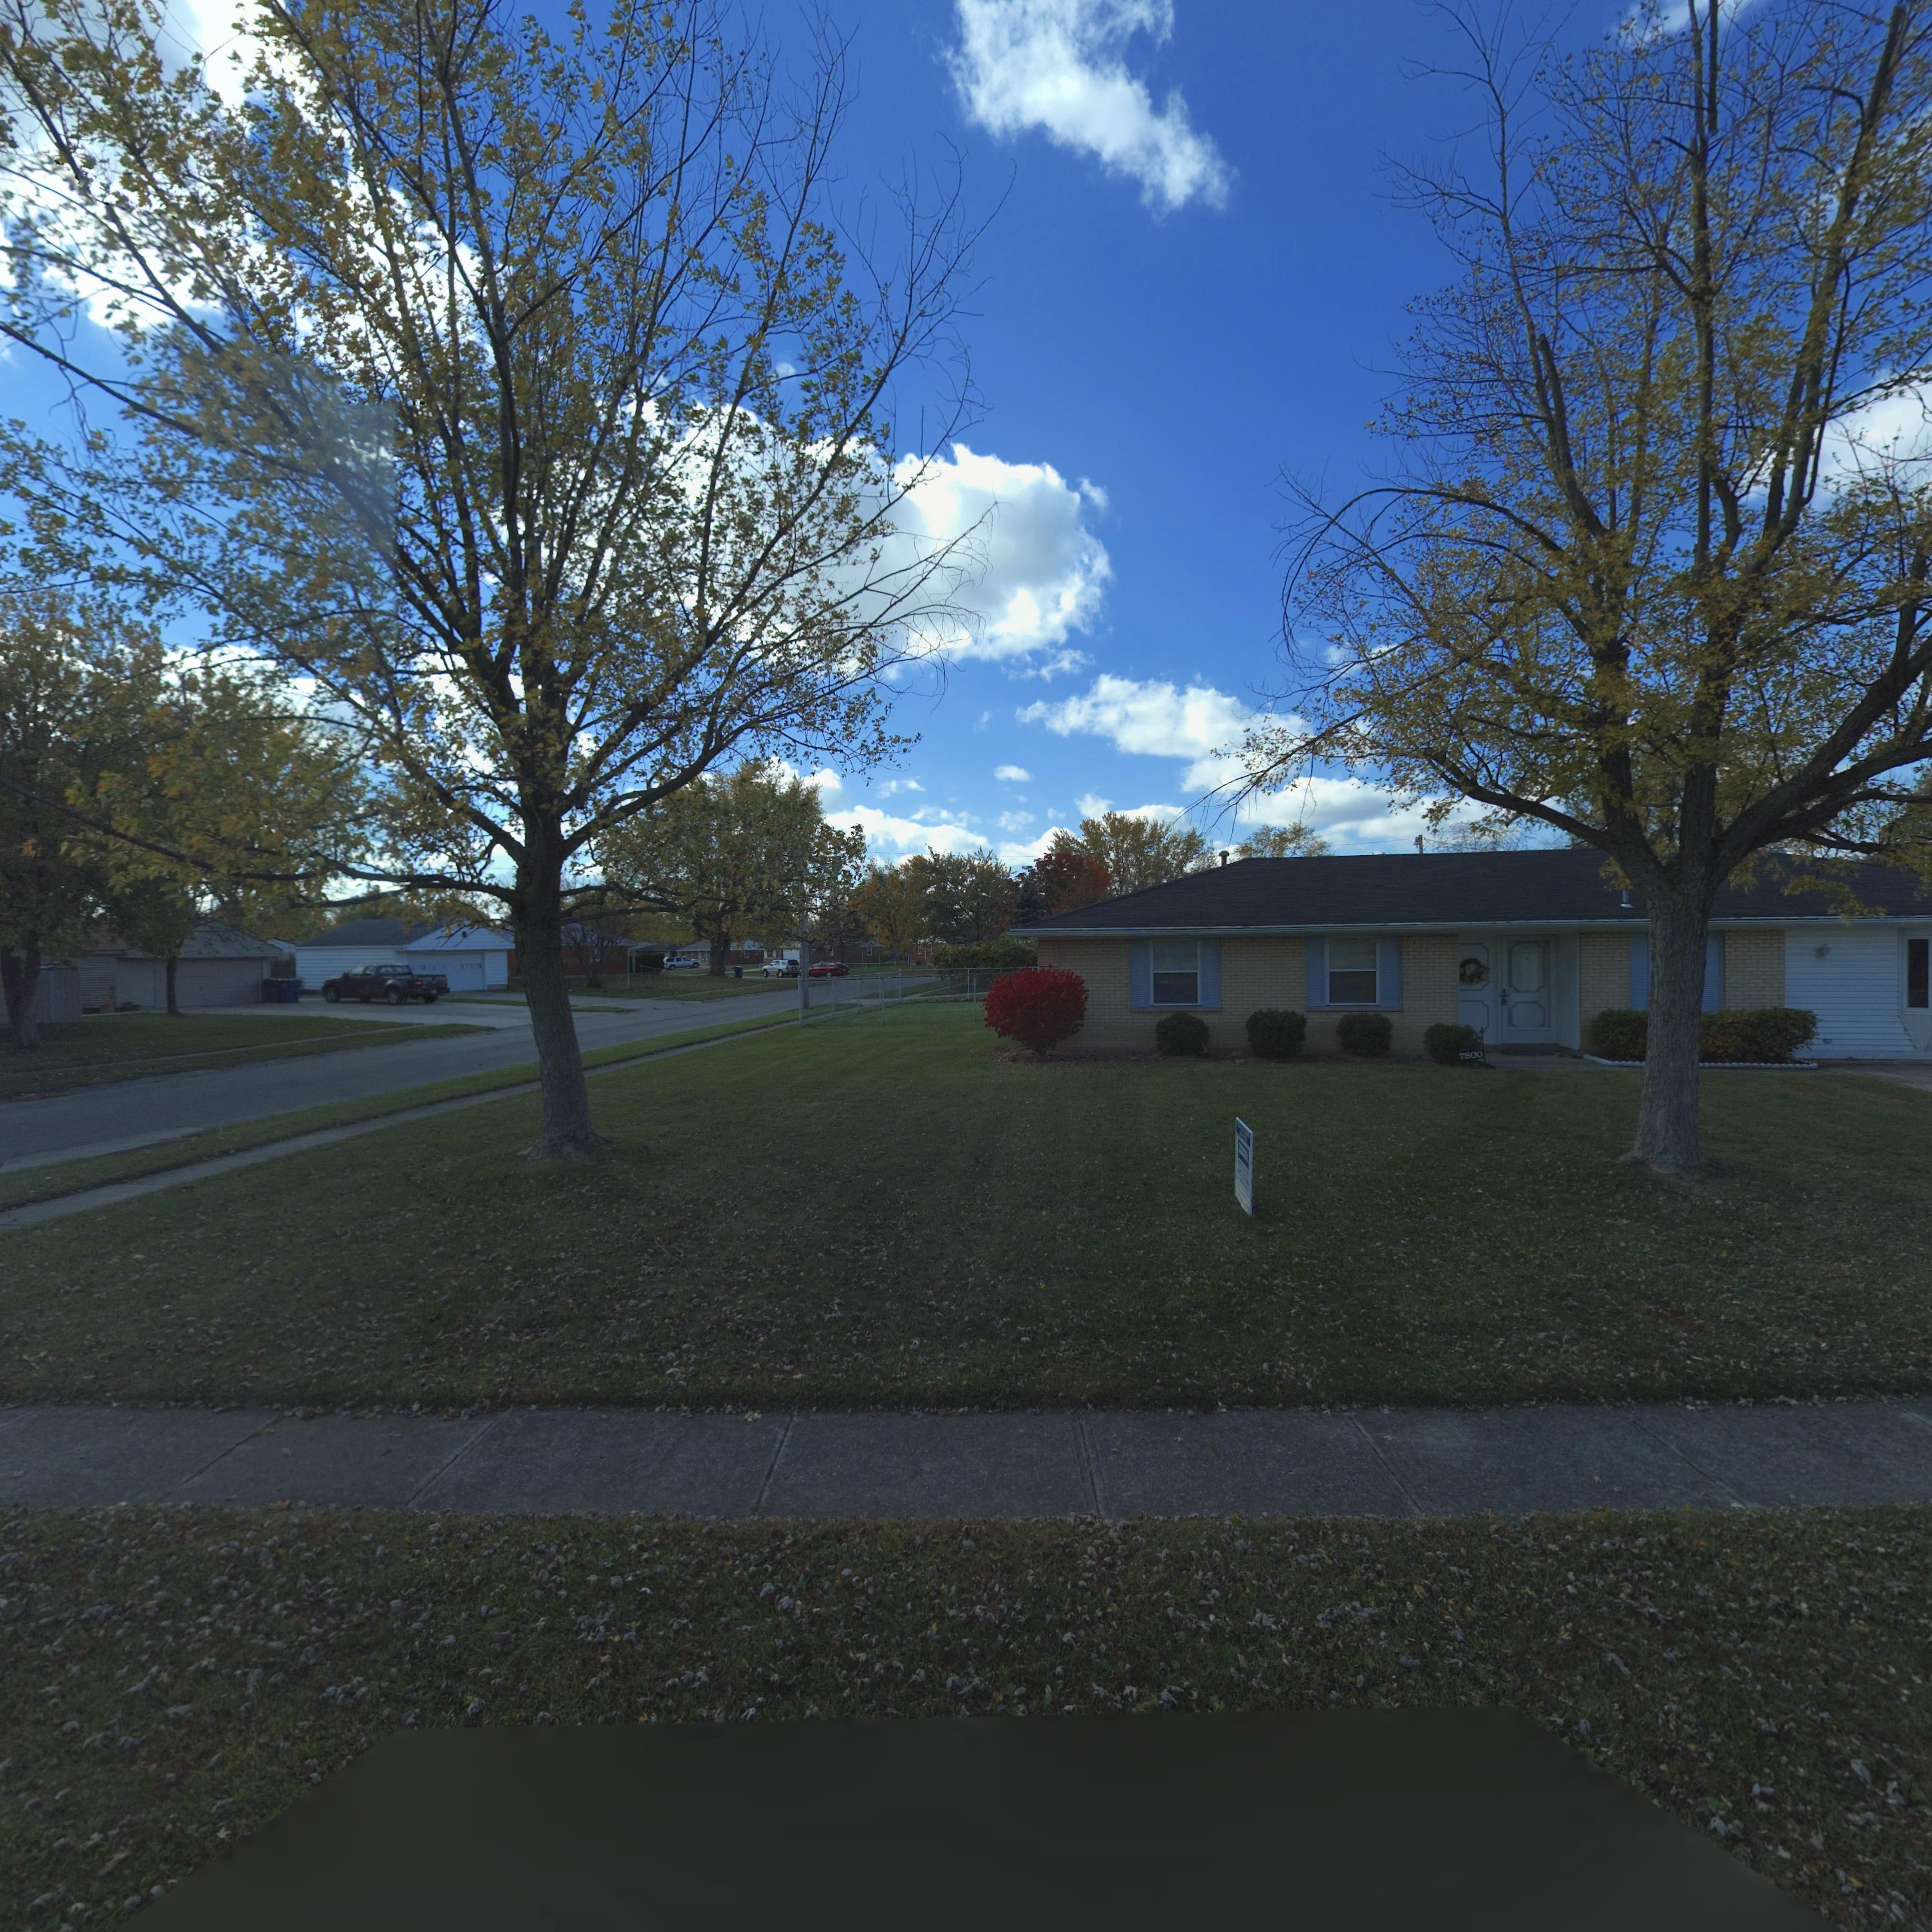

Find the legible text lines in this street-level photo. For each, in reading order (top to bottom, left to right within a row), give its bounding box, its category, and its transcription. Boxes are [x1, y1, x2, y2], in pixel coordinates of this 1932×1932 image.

[1458, 1051, 1483, 1060] StreetNumber: 7800